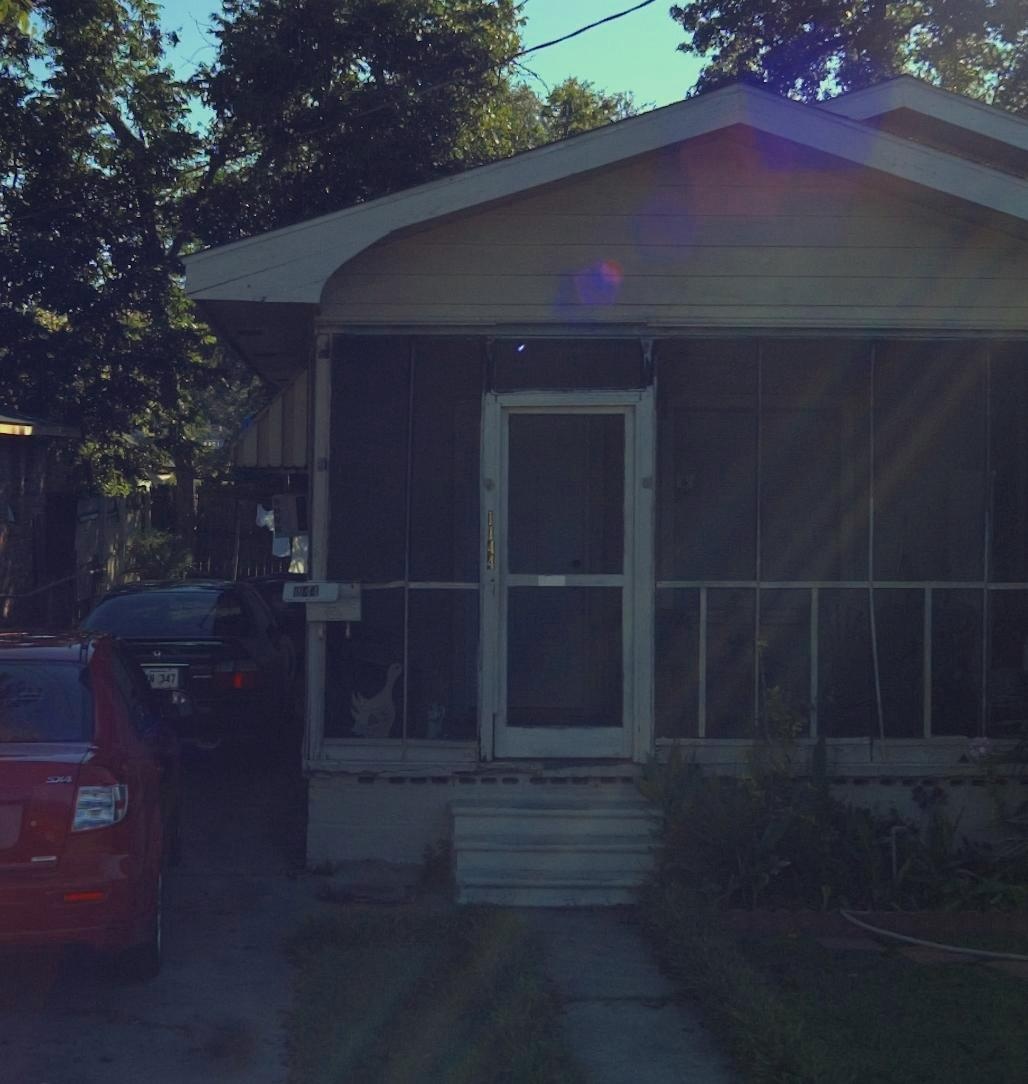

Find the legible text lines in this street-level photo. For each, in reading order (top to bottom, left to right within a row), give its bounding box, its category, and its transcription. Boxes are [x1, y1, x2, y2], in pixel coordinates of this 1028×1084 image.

[486, 508, 496, 571] StreetNumber: 1144
[293, 585, 320, 598] StreetNumber: 1144
[158, 672, 177, 685] None: 347\